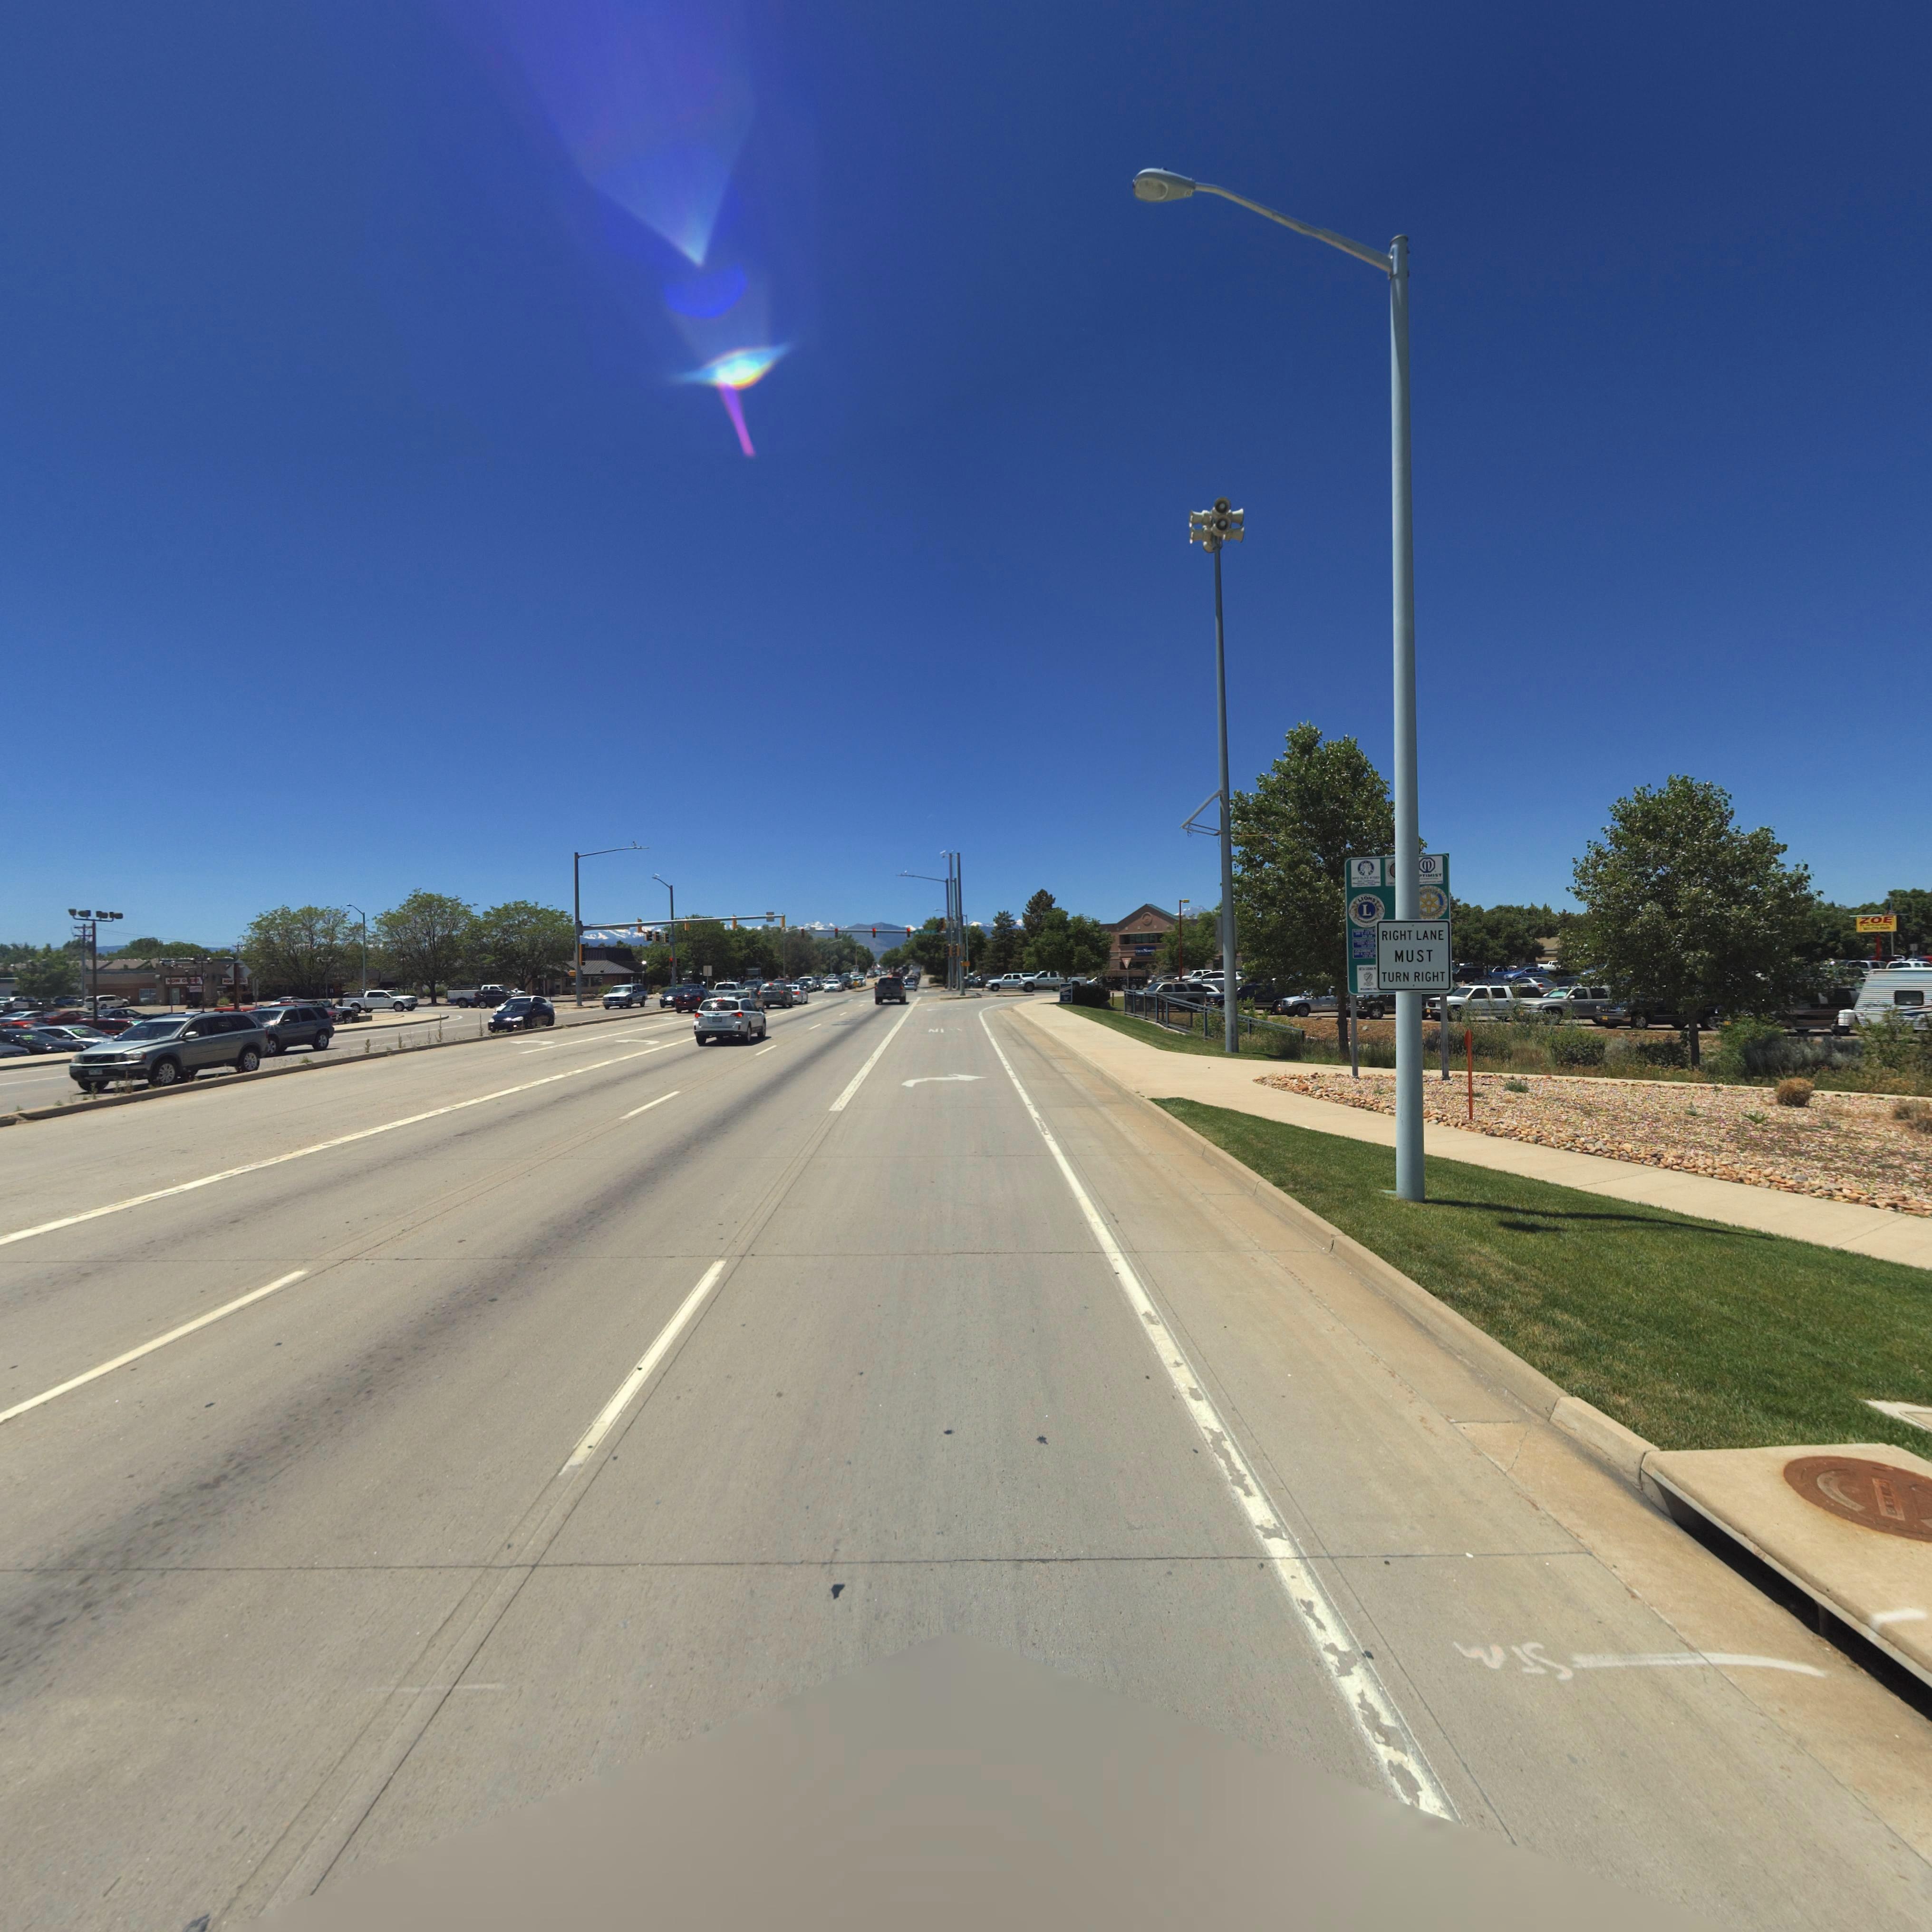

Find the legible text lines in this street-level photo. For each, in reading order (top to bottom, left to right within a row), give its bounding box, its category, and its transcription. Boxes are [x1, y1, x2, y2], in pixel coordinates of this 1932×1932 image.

[1859, 916, 1893, 925] BusinessName: ZOE
[919, 929, 936, 934] BusinessName: * M**n S*
[1135, 948, 1155, 953] BusinessName: T**EN****